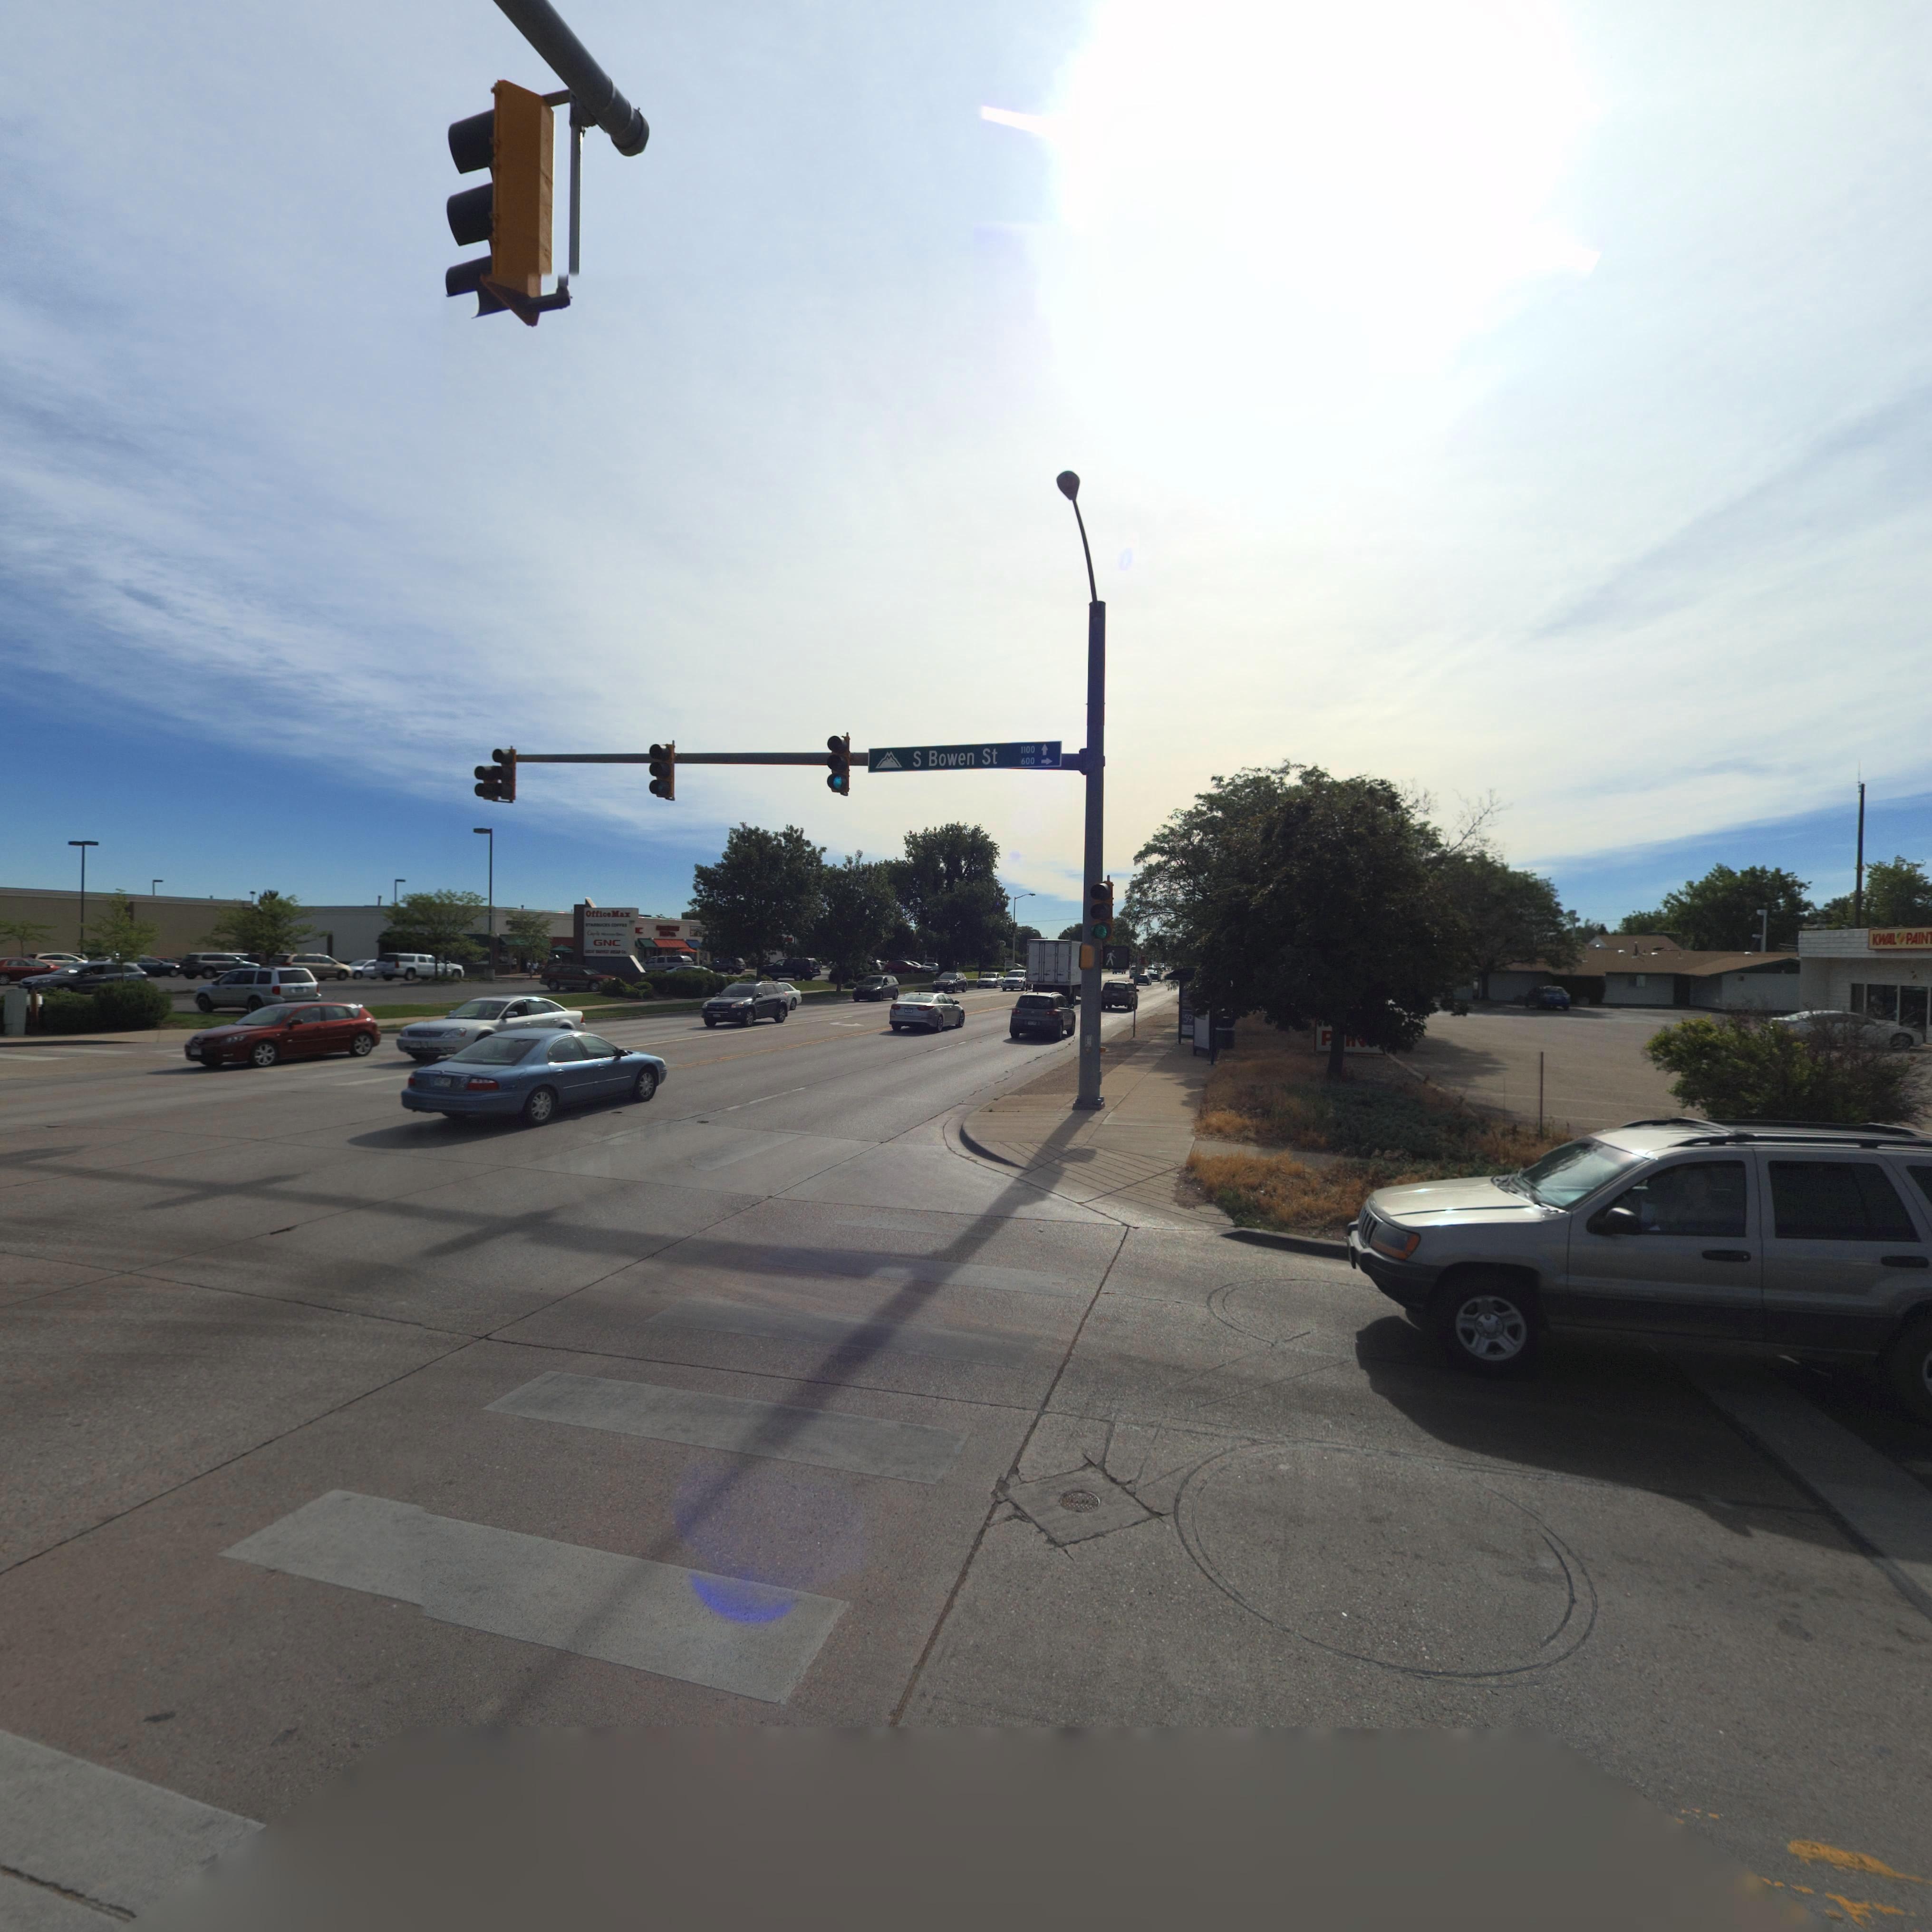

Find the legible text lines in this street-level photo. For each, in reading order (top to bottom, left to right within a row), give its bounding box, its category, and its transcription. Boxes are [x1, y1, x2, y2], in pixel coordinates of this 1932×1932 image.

[1020, 745, 1035, 753] StreetNumberRange: 1100
[912, 747, 998, 768] StreetName: S Bowen St
[1020, 756, 1054, 765] StreetNumberRange: 600->
[585, 910, 631, 918] BusinessName: OfficeMax
[585, 922, 628, 927] BusinessName: STA***CKS COFFEE
[586, 929, 626, 937] BusinessName: Chip***le MEX**** G*****
[637, 927, 643, 934] BusinessName: C
[1872, 931, 1929, 946] BusinessName: KWAL*PAIN
[592, 939, 621, 946] BusinessName: GNC
[584, 949, 627, 954] BusinessName: ***** ******* **EAD CO.
[1321, 1029, 1334, 1046] BusinessName: P